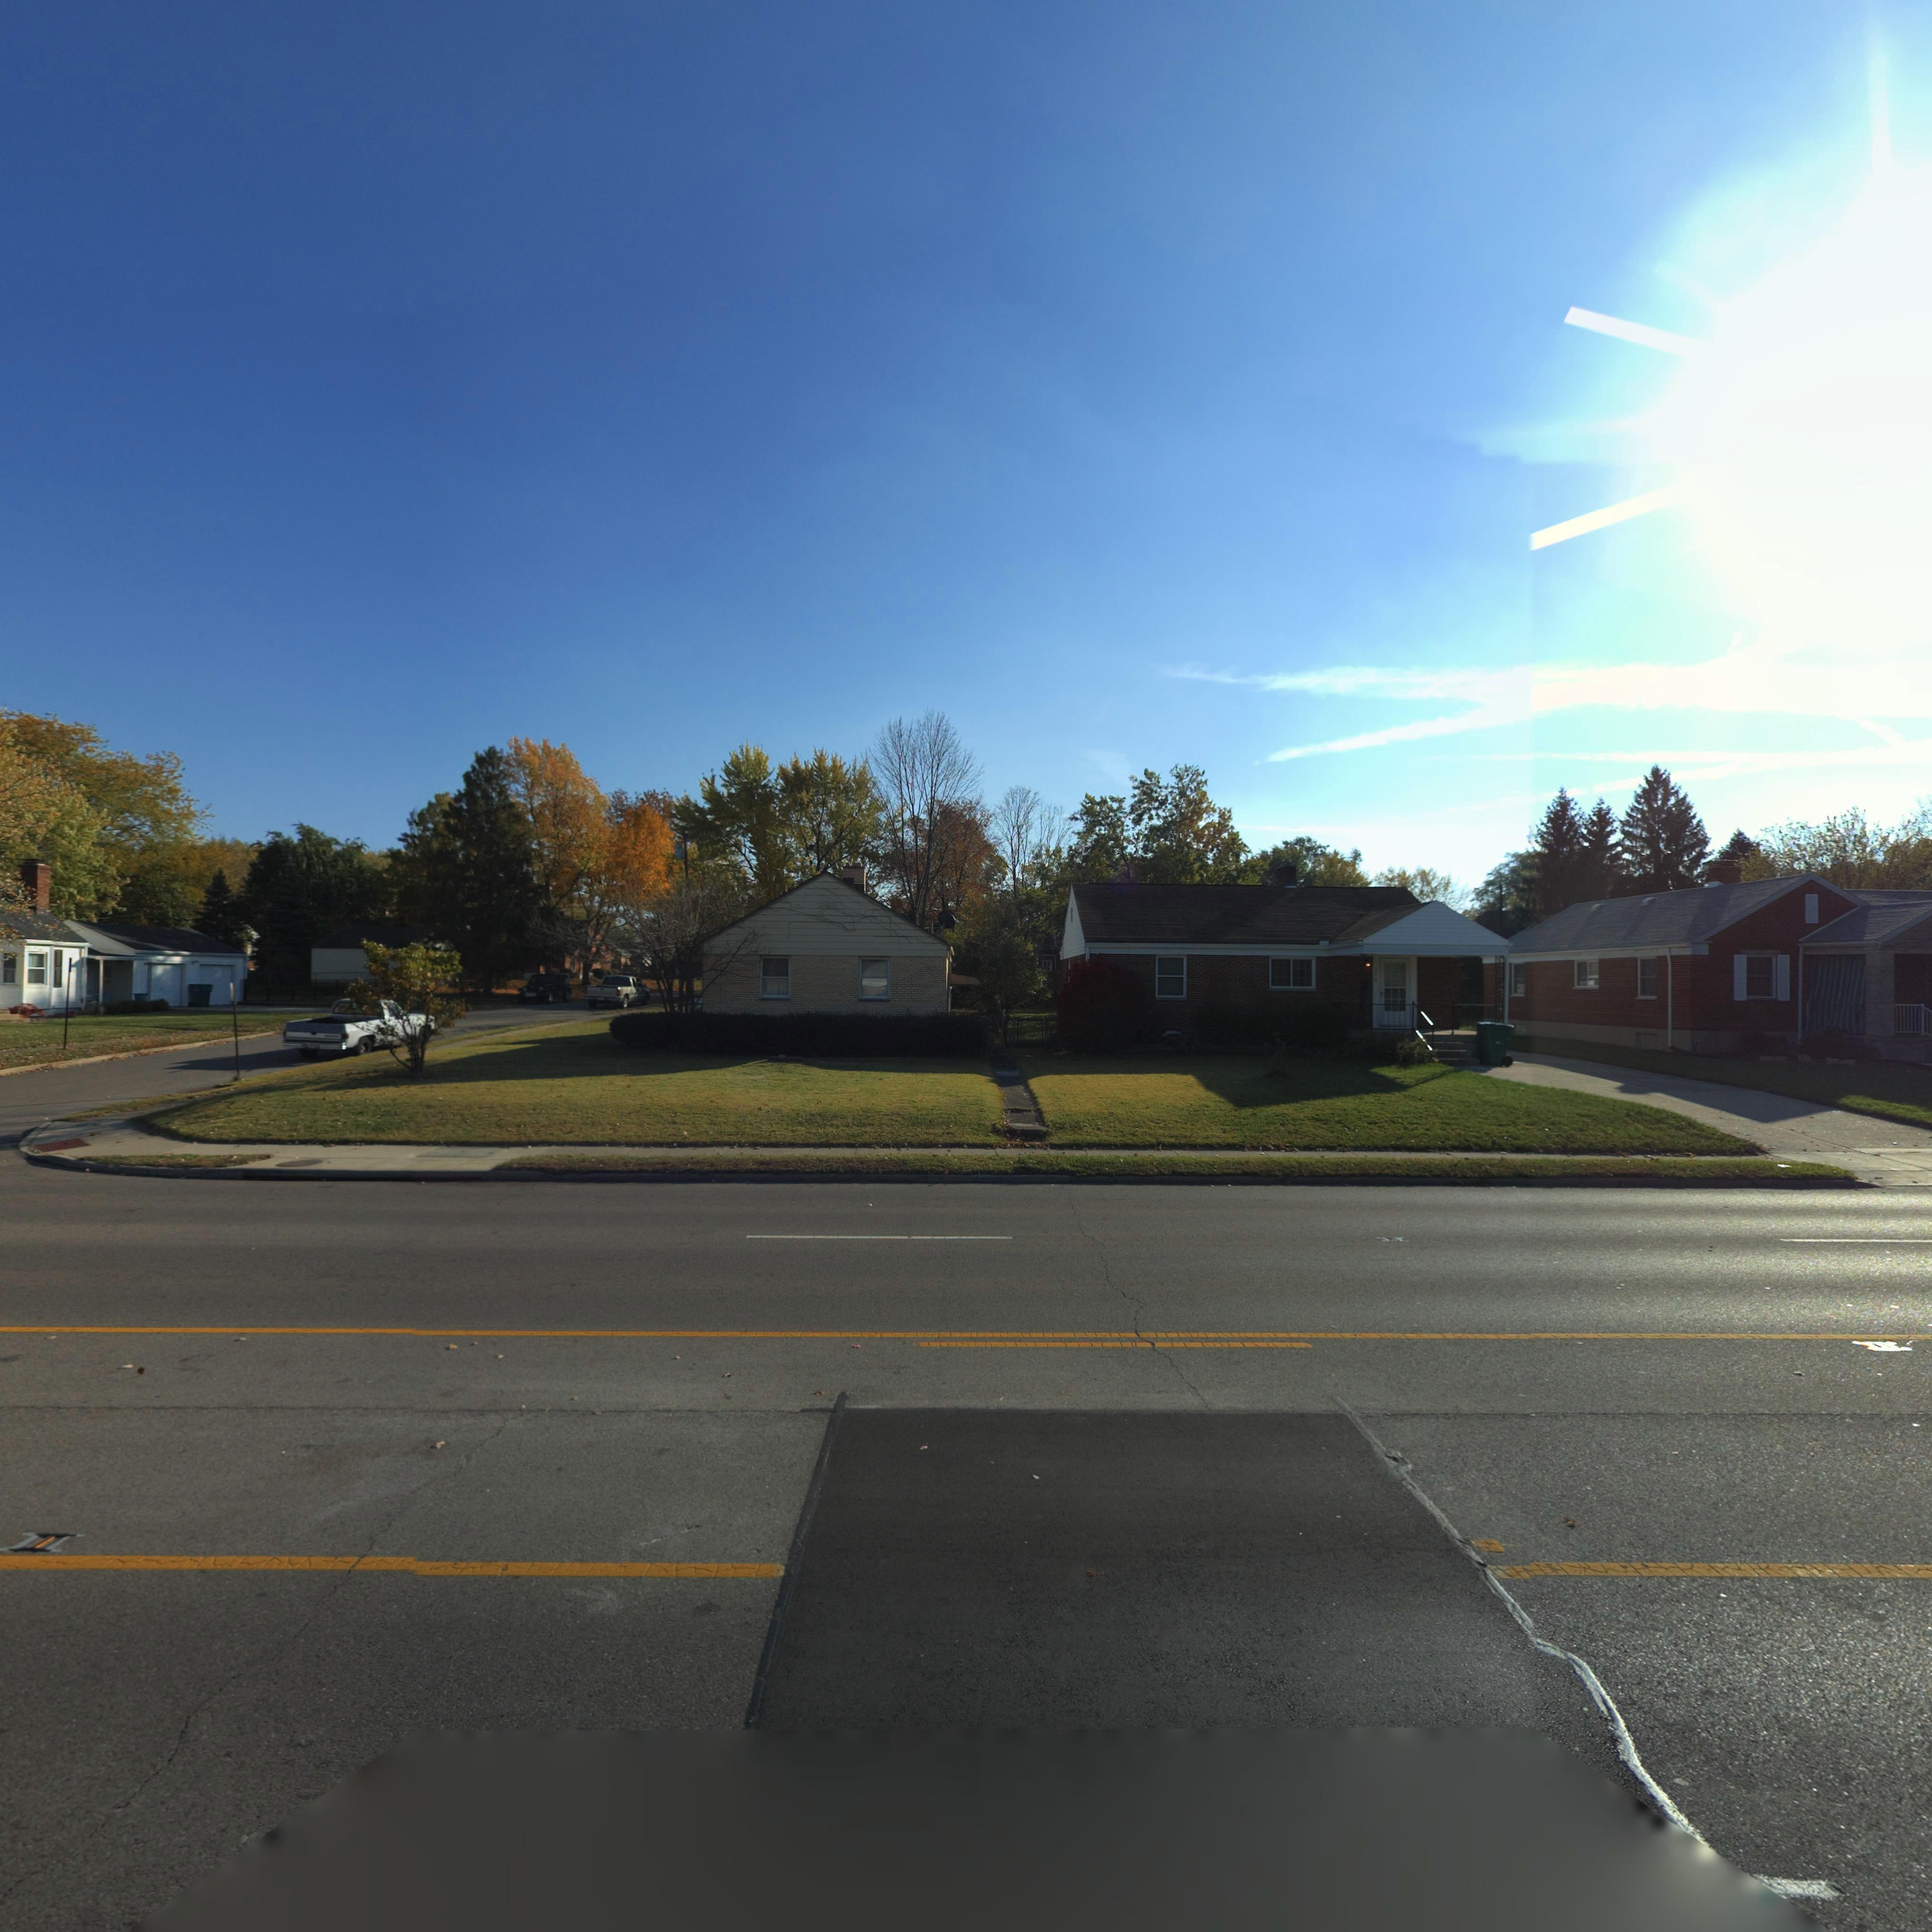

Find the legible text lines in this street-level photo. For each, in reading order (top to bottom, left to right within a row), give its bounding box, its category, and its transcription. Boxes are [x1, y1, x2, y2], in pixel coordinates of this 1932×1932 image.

[1374, 967, 1378, 983] StreetNumber: 3*0